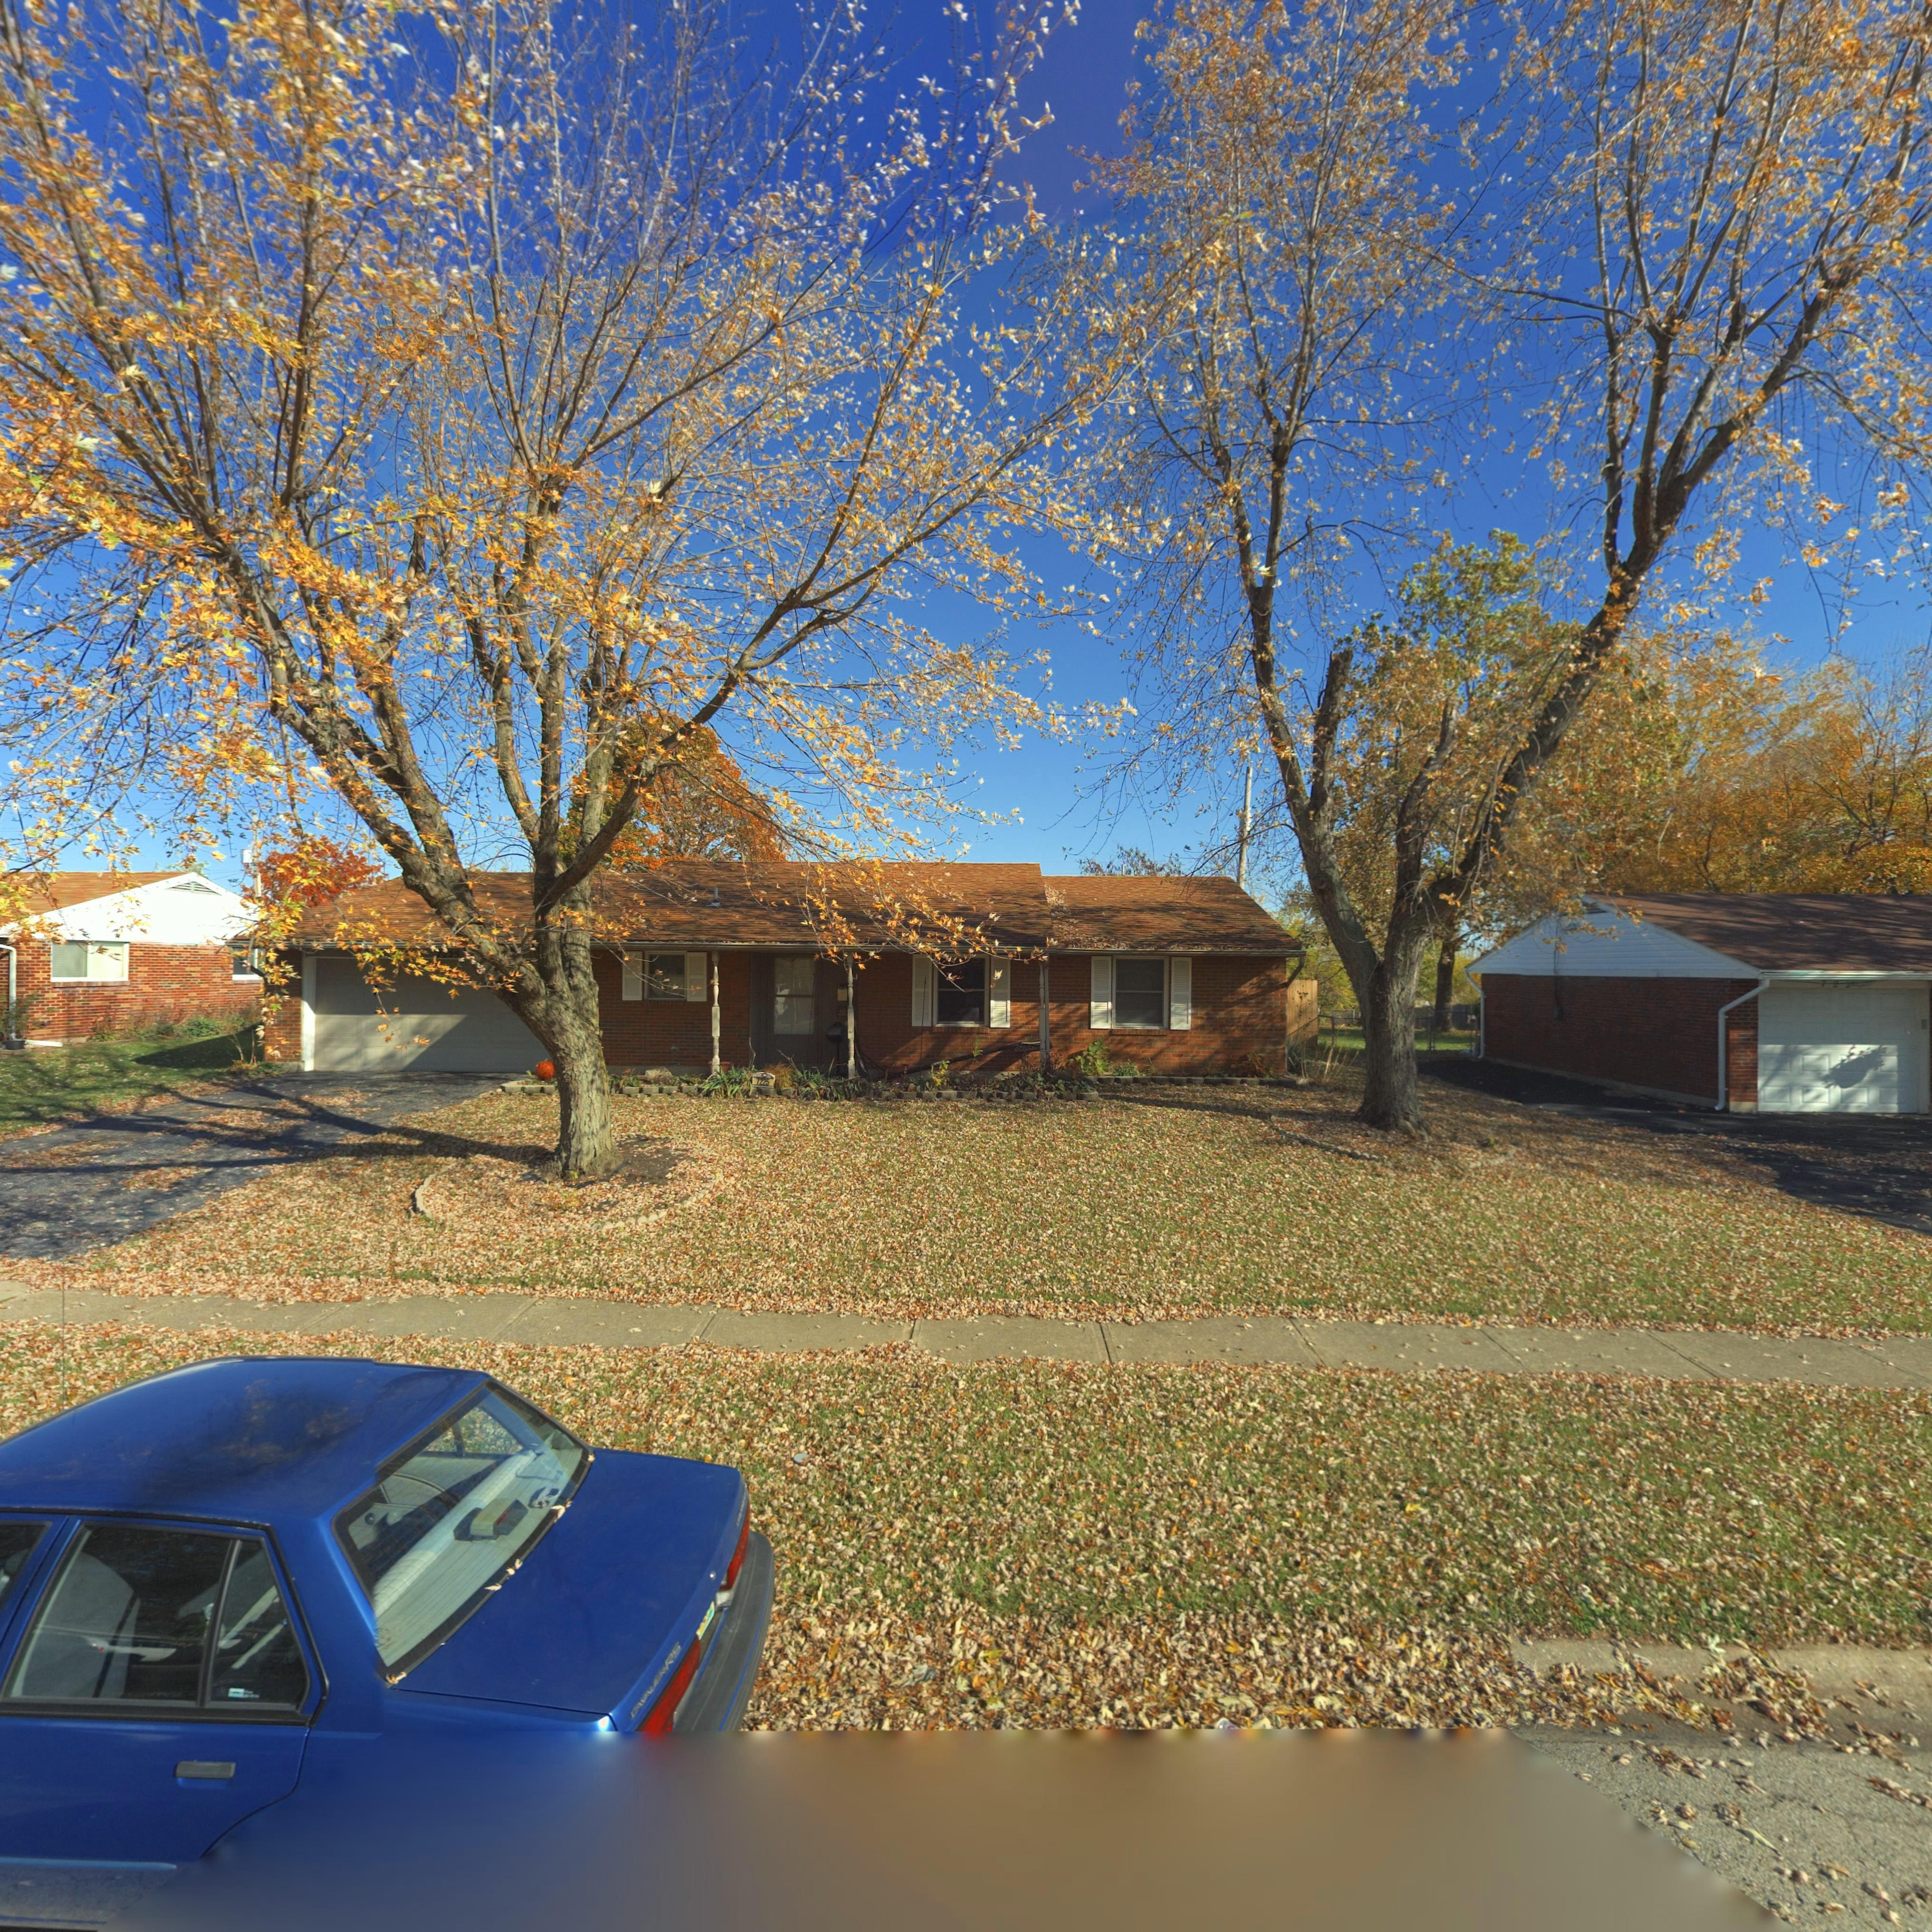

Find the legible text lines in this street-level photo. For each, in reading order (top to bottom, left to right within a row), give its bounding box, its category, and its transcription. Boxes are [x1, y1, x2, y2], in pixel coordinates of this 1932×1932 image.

[435, 949, 461, 959] StreetNumber: **25
[755, 1077, 771, 1087] StreetNumber: 7225